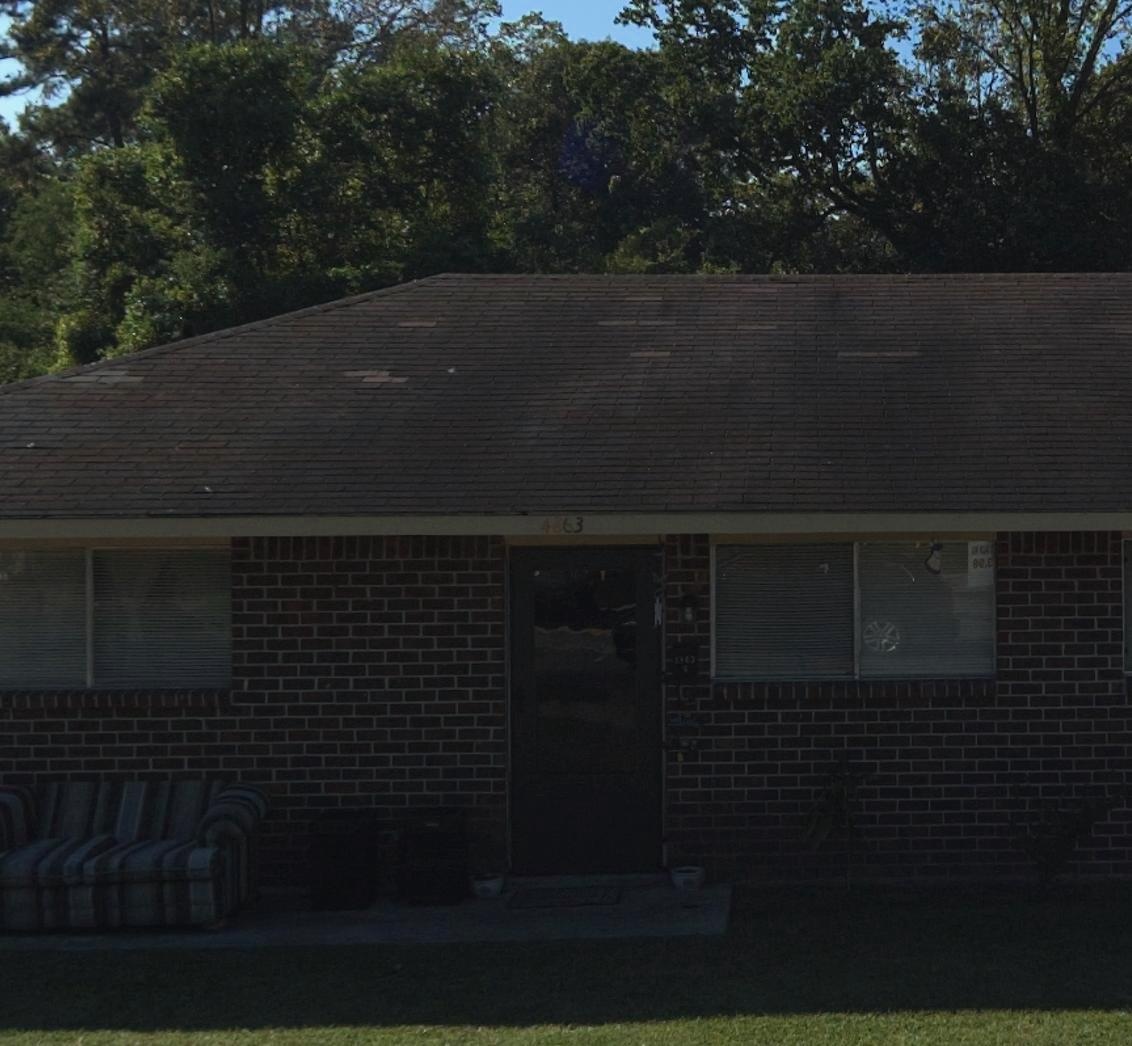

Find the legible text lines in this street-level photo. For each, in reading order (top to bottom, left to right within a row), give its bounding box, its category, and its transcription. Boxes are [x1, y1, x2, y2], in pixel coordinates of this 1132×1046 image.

[540, 515, 584, 534] StreetNumber: 4863